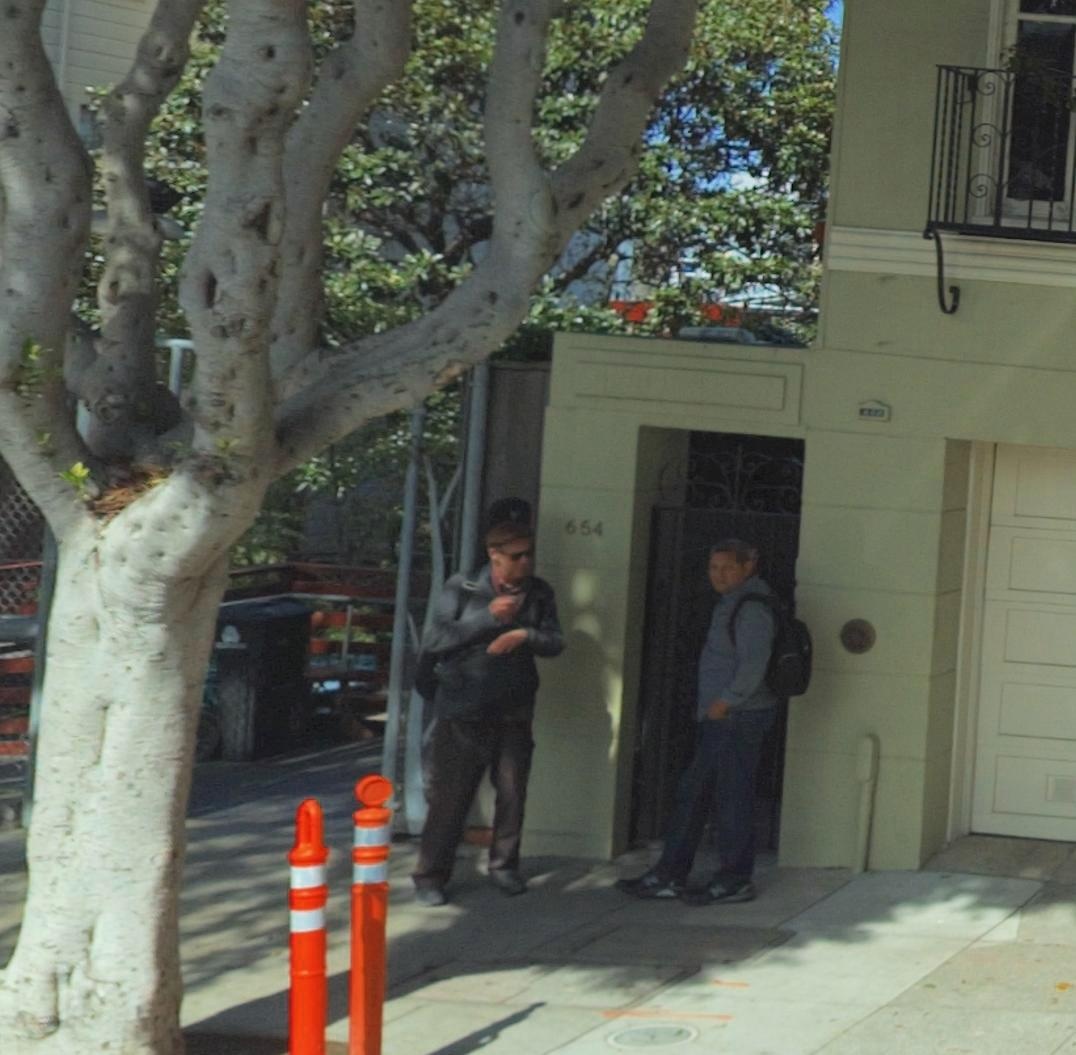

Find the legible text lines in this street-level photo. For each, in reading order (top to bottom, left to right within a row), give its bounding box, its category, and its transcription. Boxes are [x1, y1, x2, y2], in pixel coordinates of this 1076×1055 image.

[563, 518, 605, 540] StreetNumber: 654